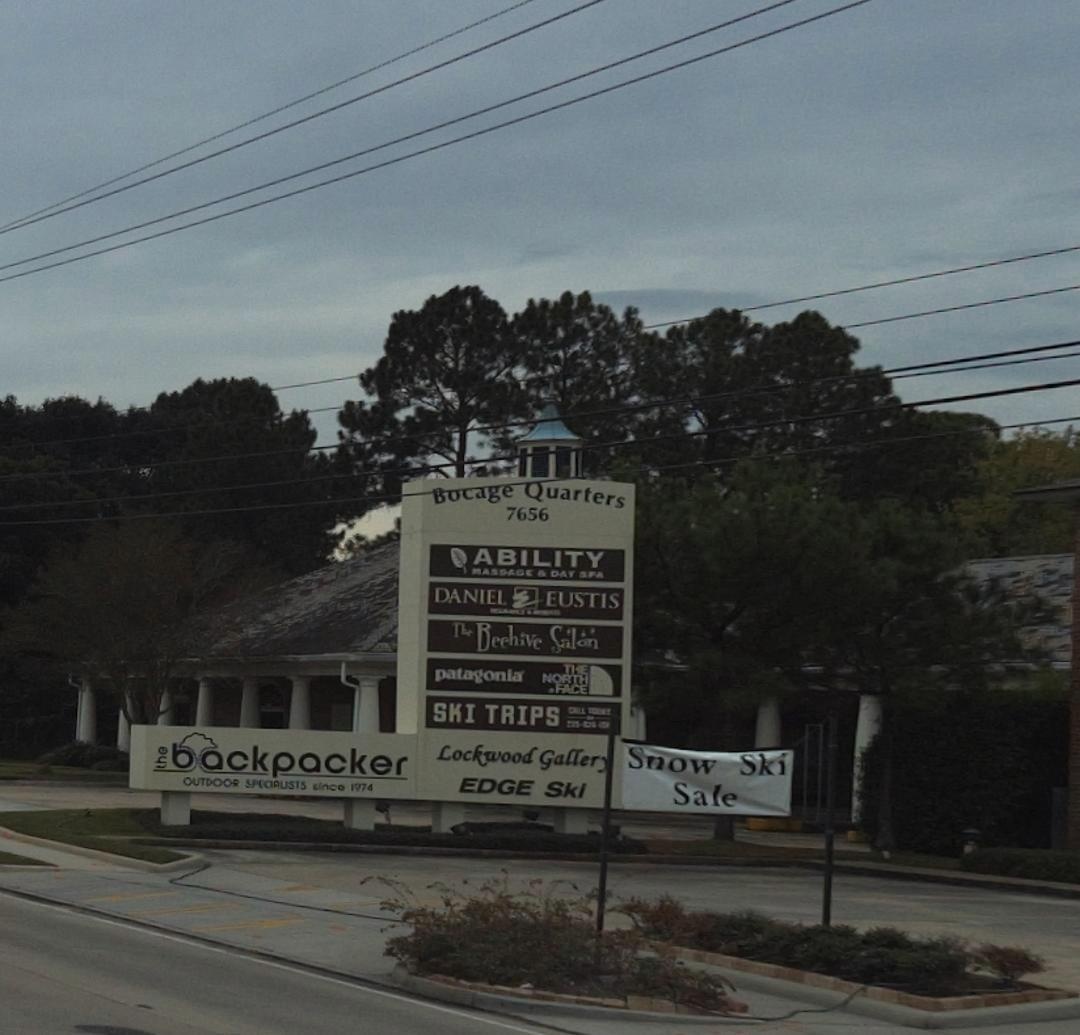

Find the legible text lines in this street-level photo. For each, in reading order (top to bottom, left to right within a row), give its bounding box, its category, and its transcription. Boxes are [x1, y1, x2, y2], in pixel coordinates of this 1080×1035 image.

[431, 479, 628, 510] None: Bocage Quarters
[506, 504, 549, 522] StreetNumber: 7656
[470, 547, 605, 569] BusinessName: ABILITY
[471, 566, 607, 579] None: MASSAGE & DAY SPA
[432, 586, 620, 610] BusinessName: DANIEL*EUSTIS
[451, 620, 600, 655] BusinessName: The Beehive Salon
[434, 665, 526, 686] BusinessName: patagonia
[542, 672, 590, 685] None: NORTH
[555, 684, 588, 695] None: FACE
[562, 663, 589, 674] None: THE
[432, 701, 561, 728] BusinessName: SKI TRIPS
[171, 741, 410, 779] BusinessName: backpacker
[436, 742, 603, 772] None: Lockwood Galler
[627, 745, 790, 777] None: Snow Ski
[183, 776, 374, 794] None: OUTDOOR SPECI*USIS since 1974
[458, 776, 589, 800] None: EDGE Ski
[673, 780, 741, 808] None: Sale